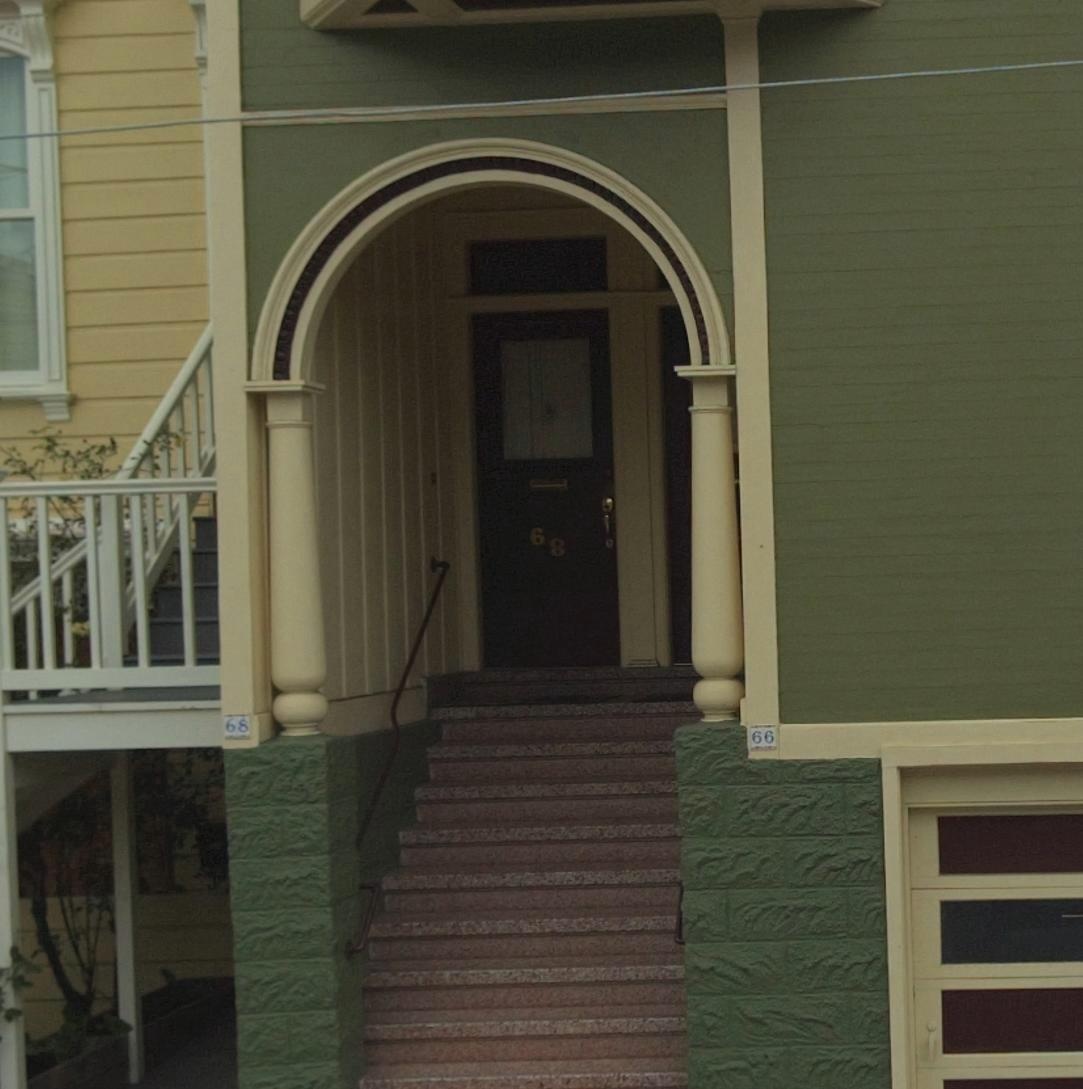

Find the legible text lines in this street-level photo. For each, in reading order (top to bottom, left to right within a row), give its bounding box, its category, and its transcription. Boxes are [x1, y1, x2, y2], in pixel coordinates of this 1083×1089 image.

[529, 526, 566, 559] StreetNumber: 68
[224, 716, 250, 734] StreetNumber: 68
[750, 729, 775, 745] StreetNumber: 66